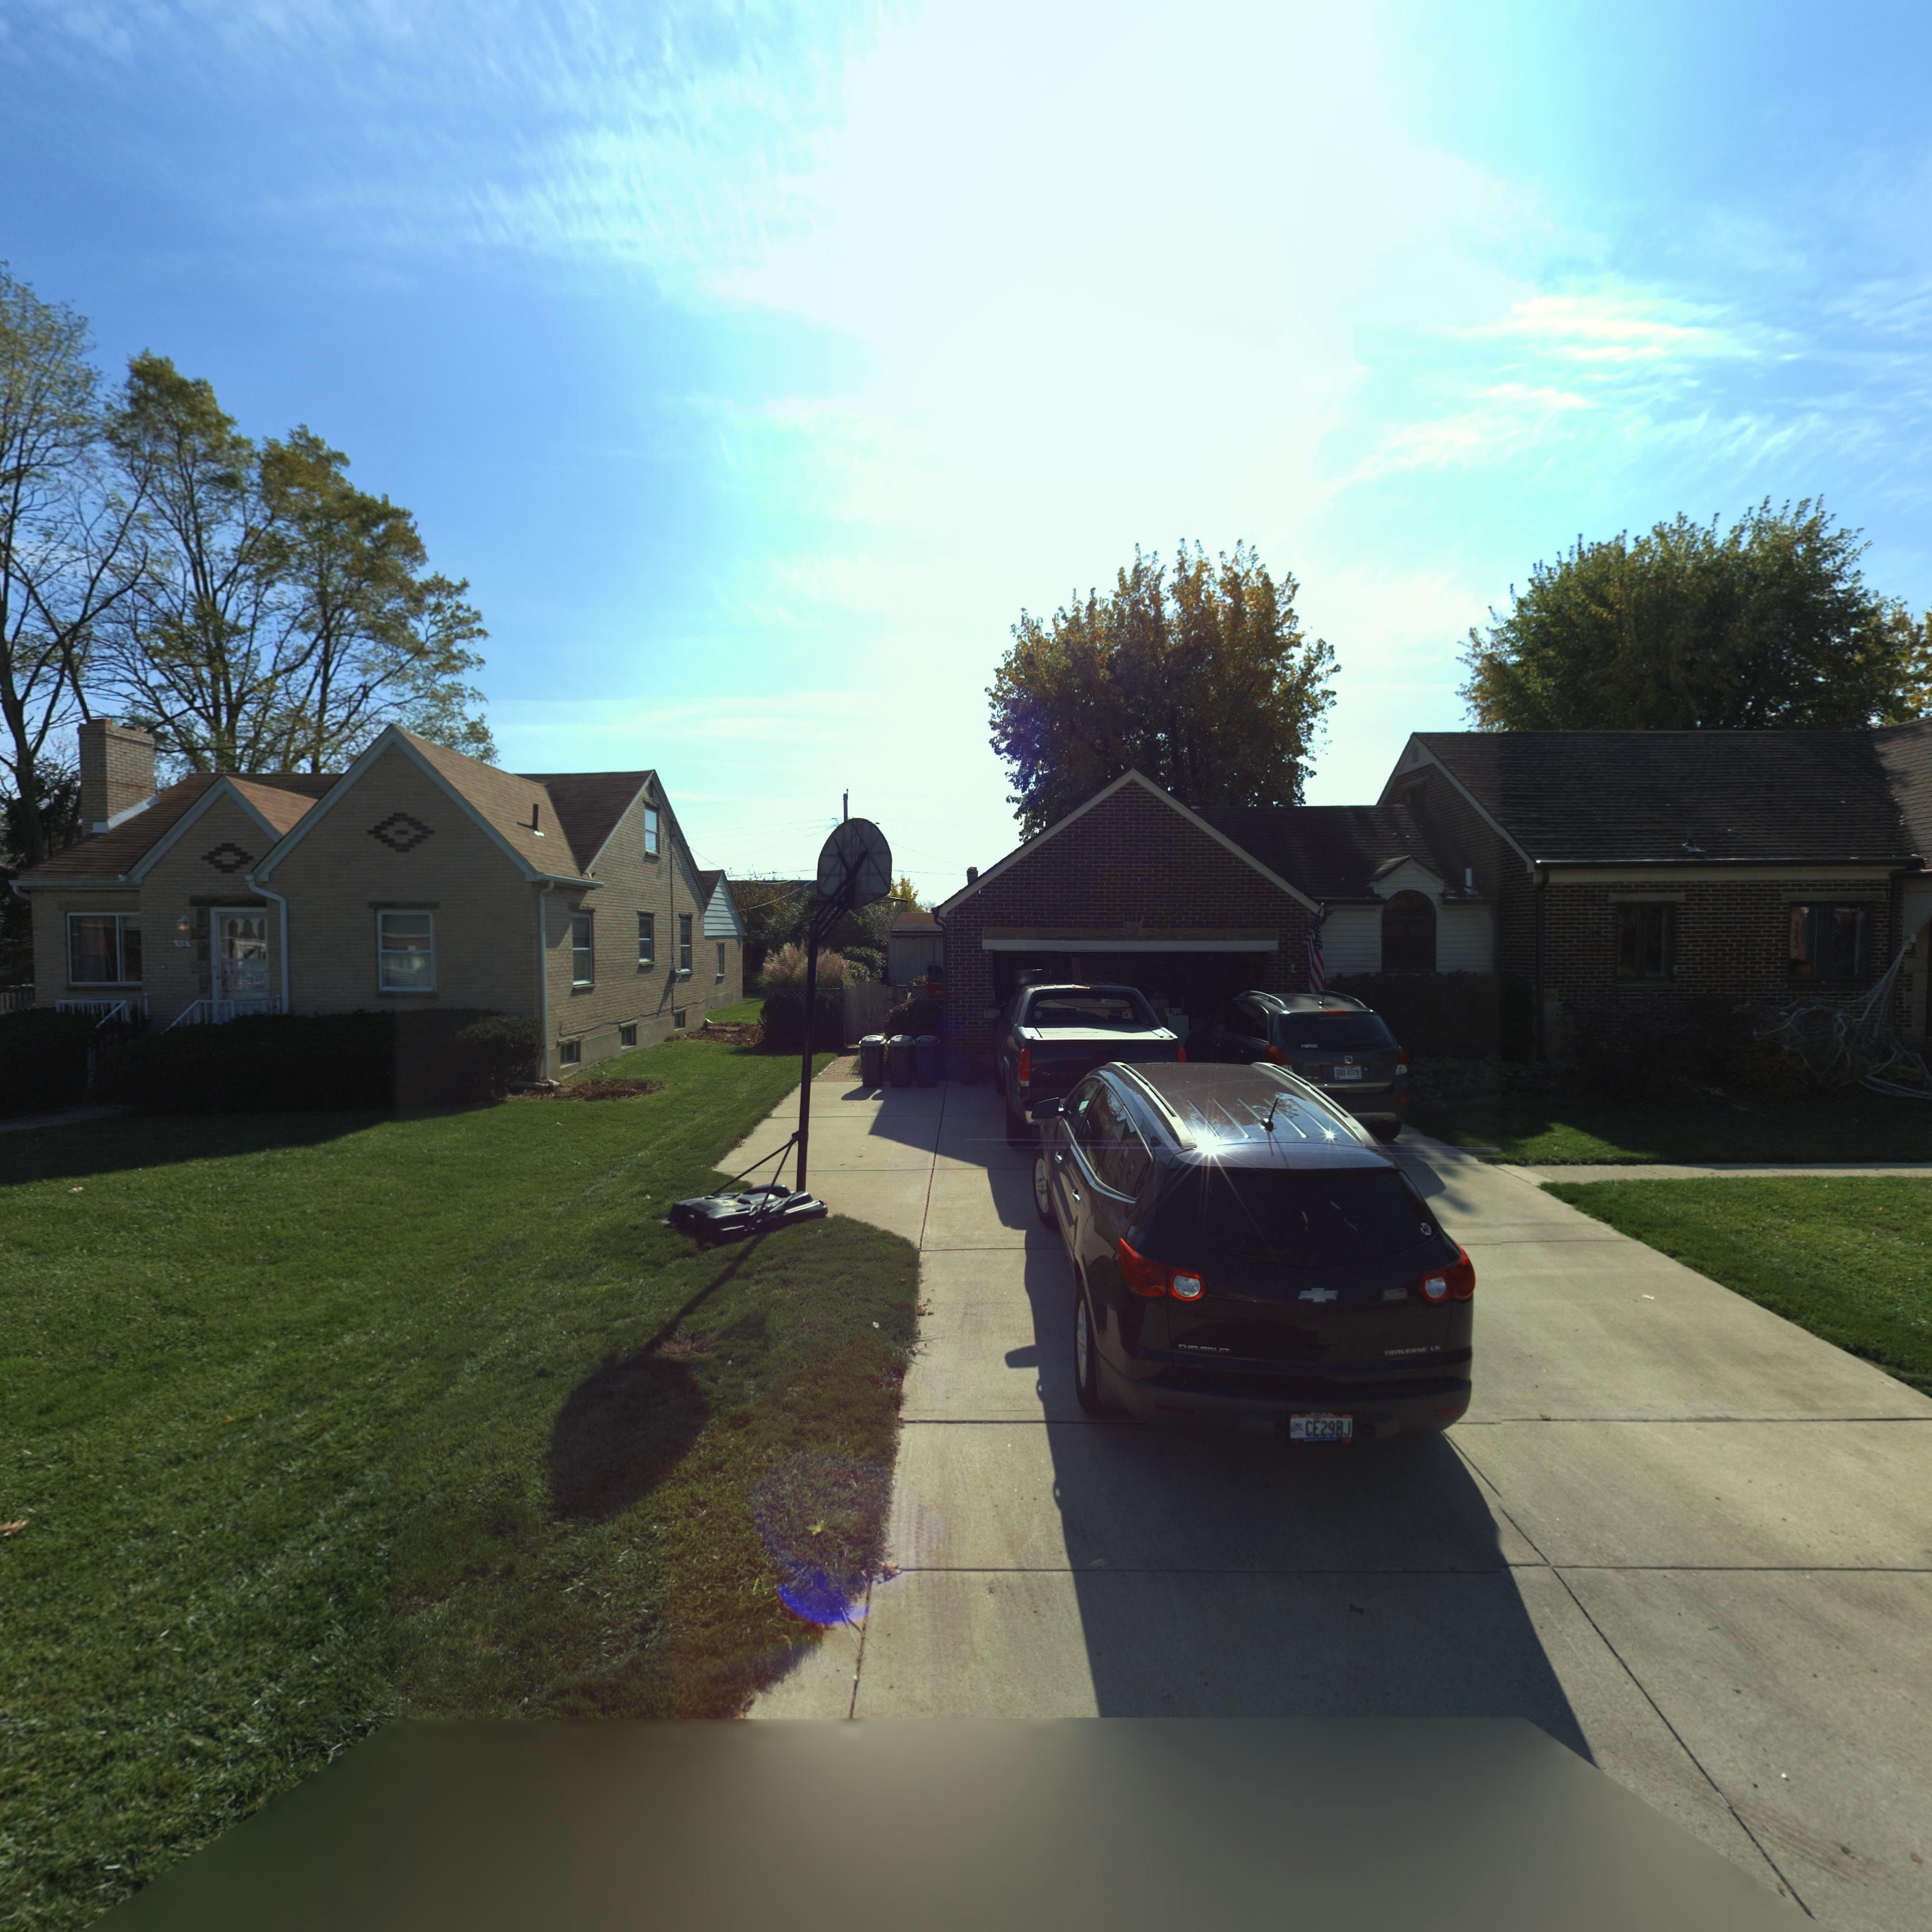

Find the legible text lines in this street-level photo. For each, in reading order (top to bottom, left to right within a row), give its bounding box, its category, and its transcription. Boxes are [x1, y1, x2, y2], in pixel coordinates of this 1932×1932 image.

[174, 940, 189, 947] StreetNumber: 5*6
[1335, 1069, 1360, 1077] None: GBD*4728
[1178, 1343, 1230, 1354] None: CHEVROLET
[1382, 1344, 1441, 1357] None: TRAVERSE LS
[1305, 1420, 1352, 1437] None: CE29BJ